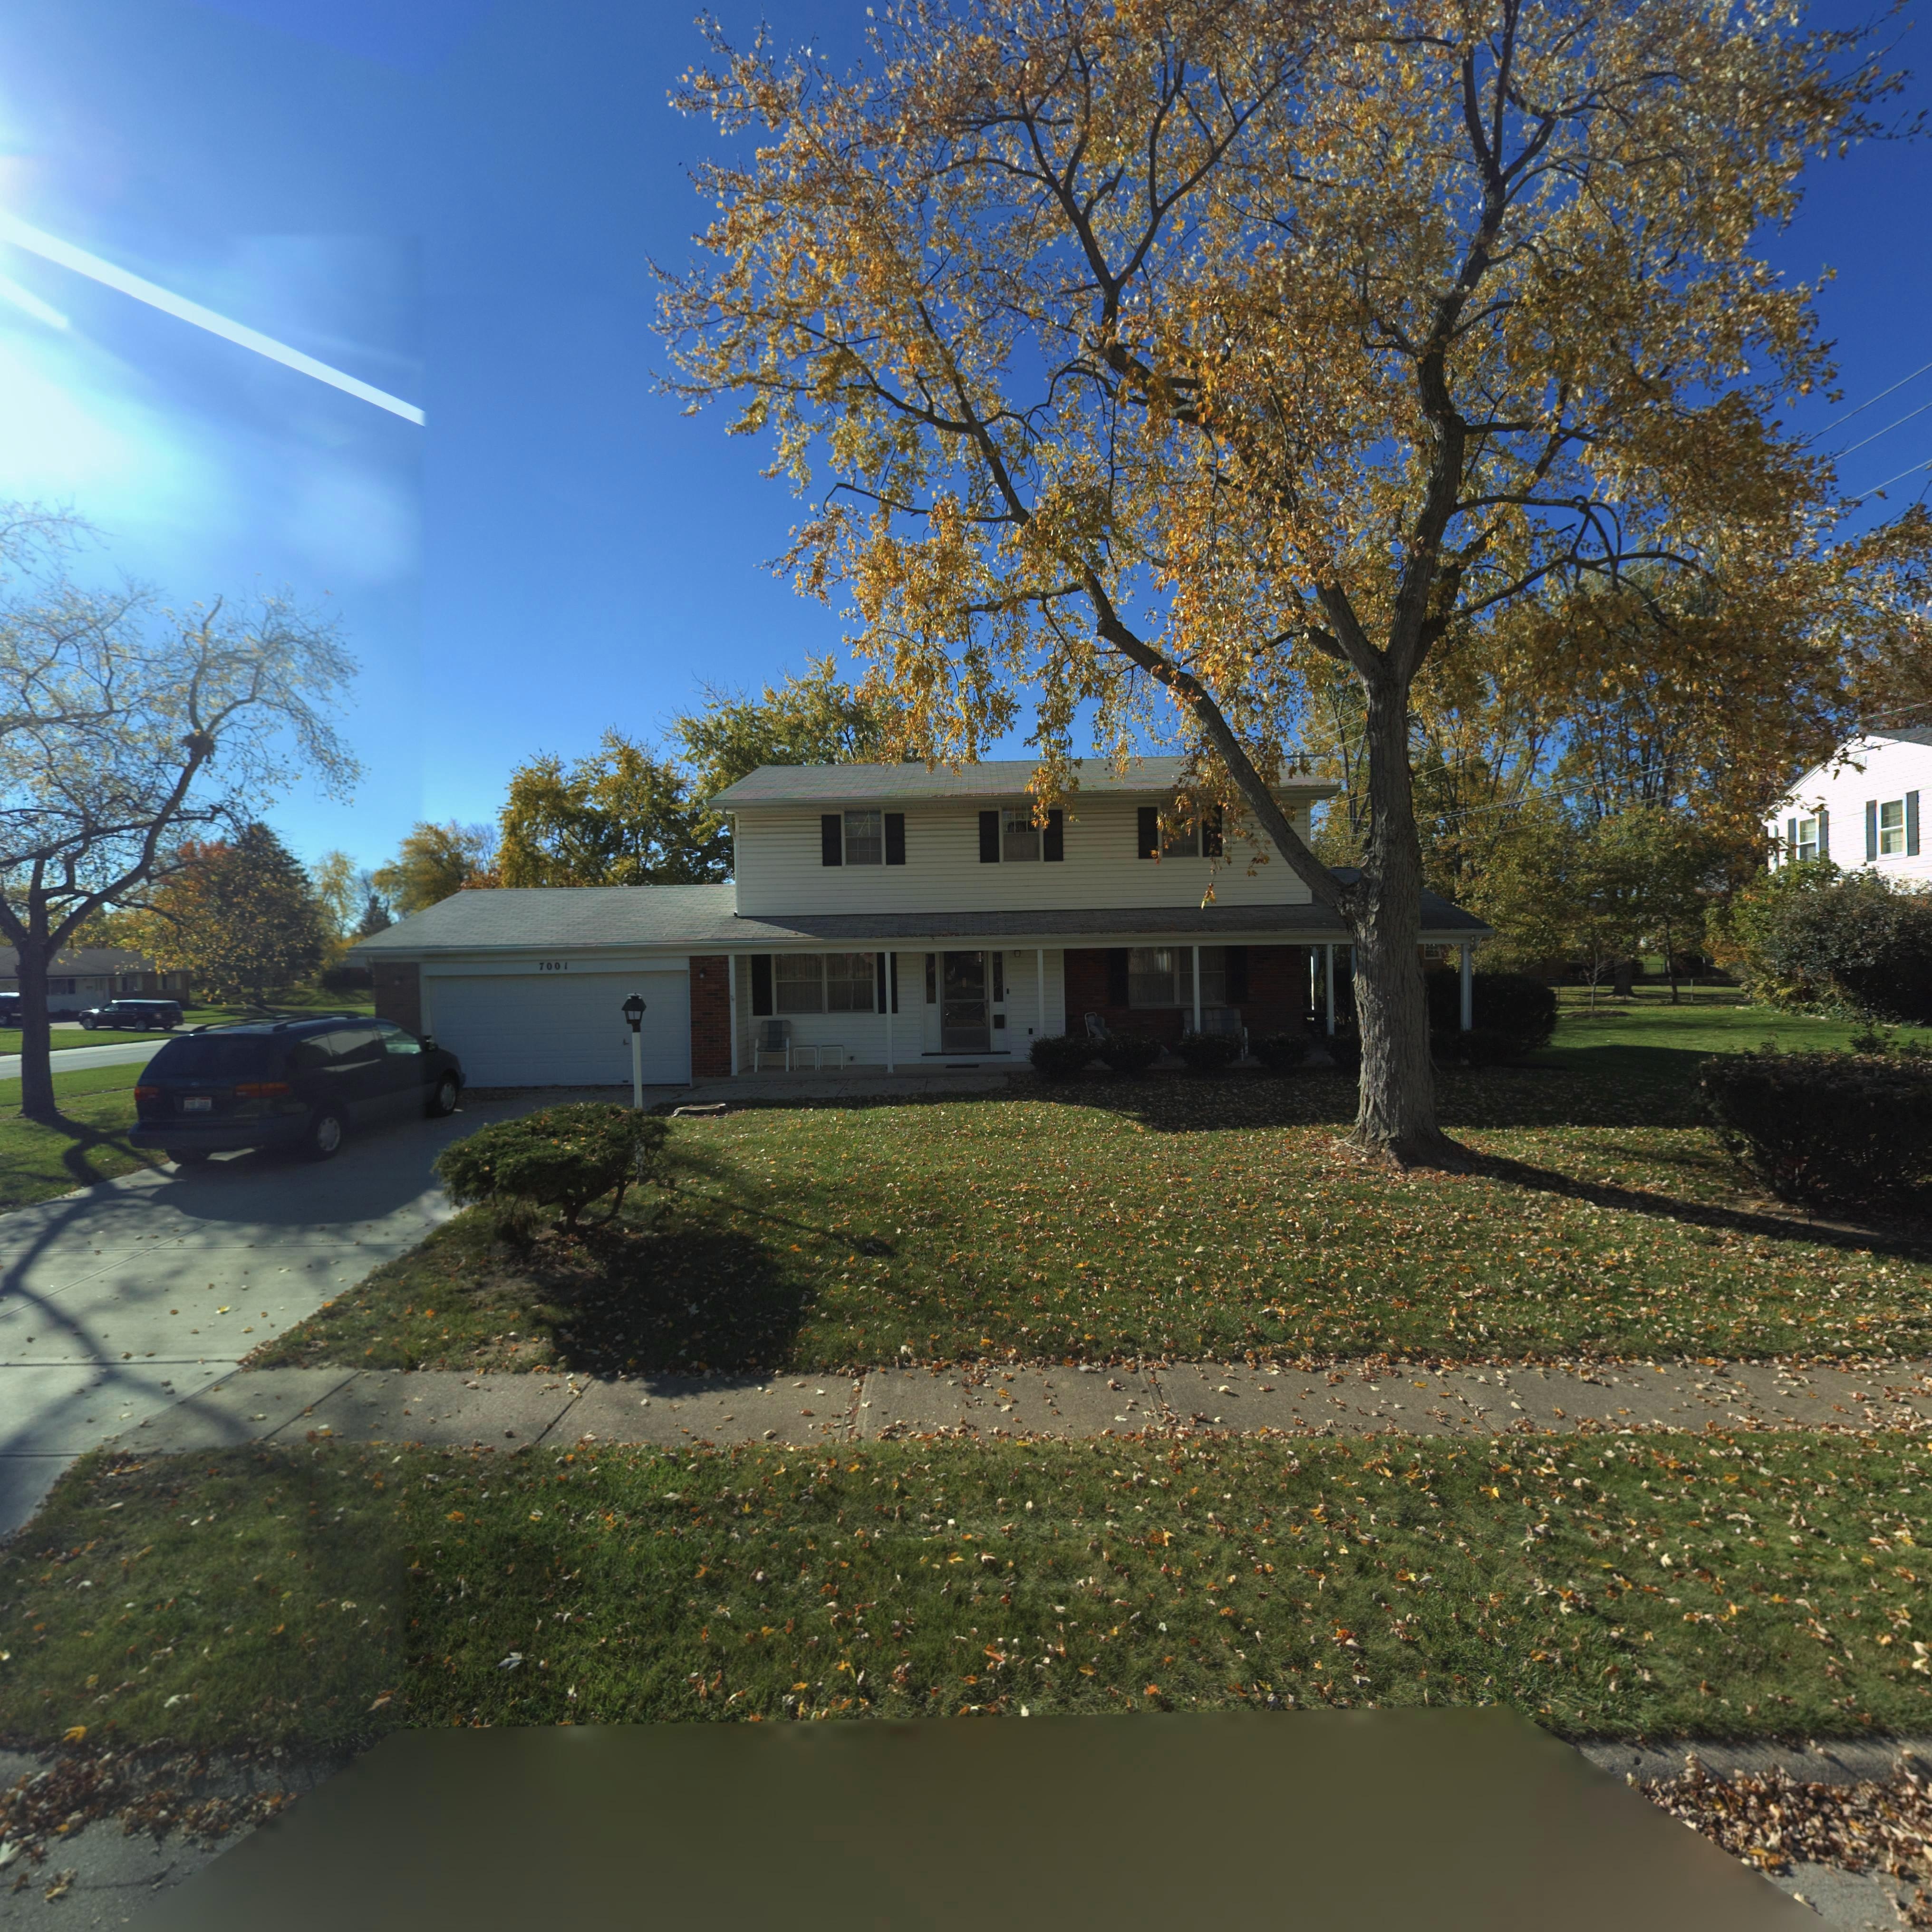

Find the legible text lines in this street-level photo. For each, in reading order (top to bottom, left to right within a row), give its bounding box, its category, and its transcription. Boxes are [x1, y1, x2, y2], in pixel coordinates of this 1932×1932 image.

[538, 961, 569, 972] StreetNumber: 7001